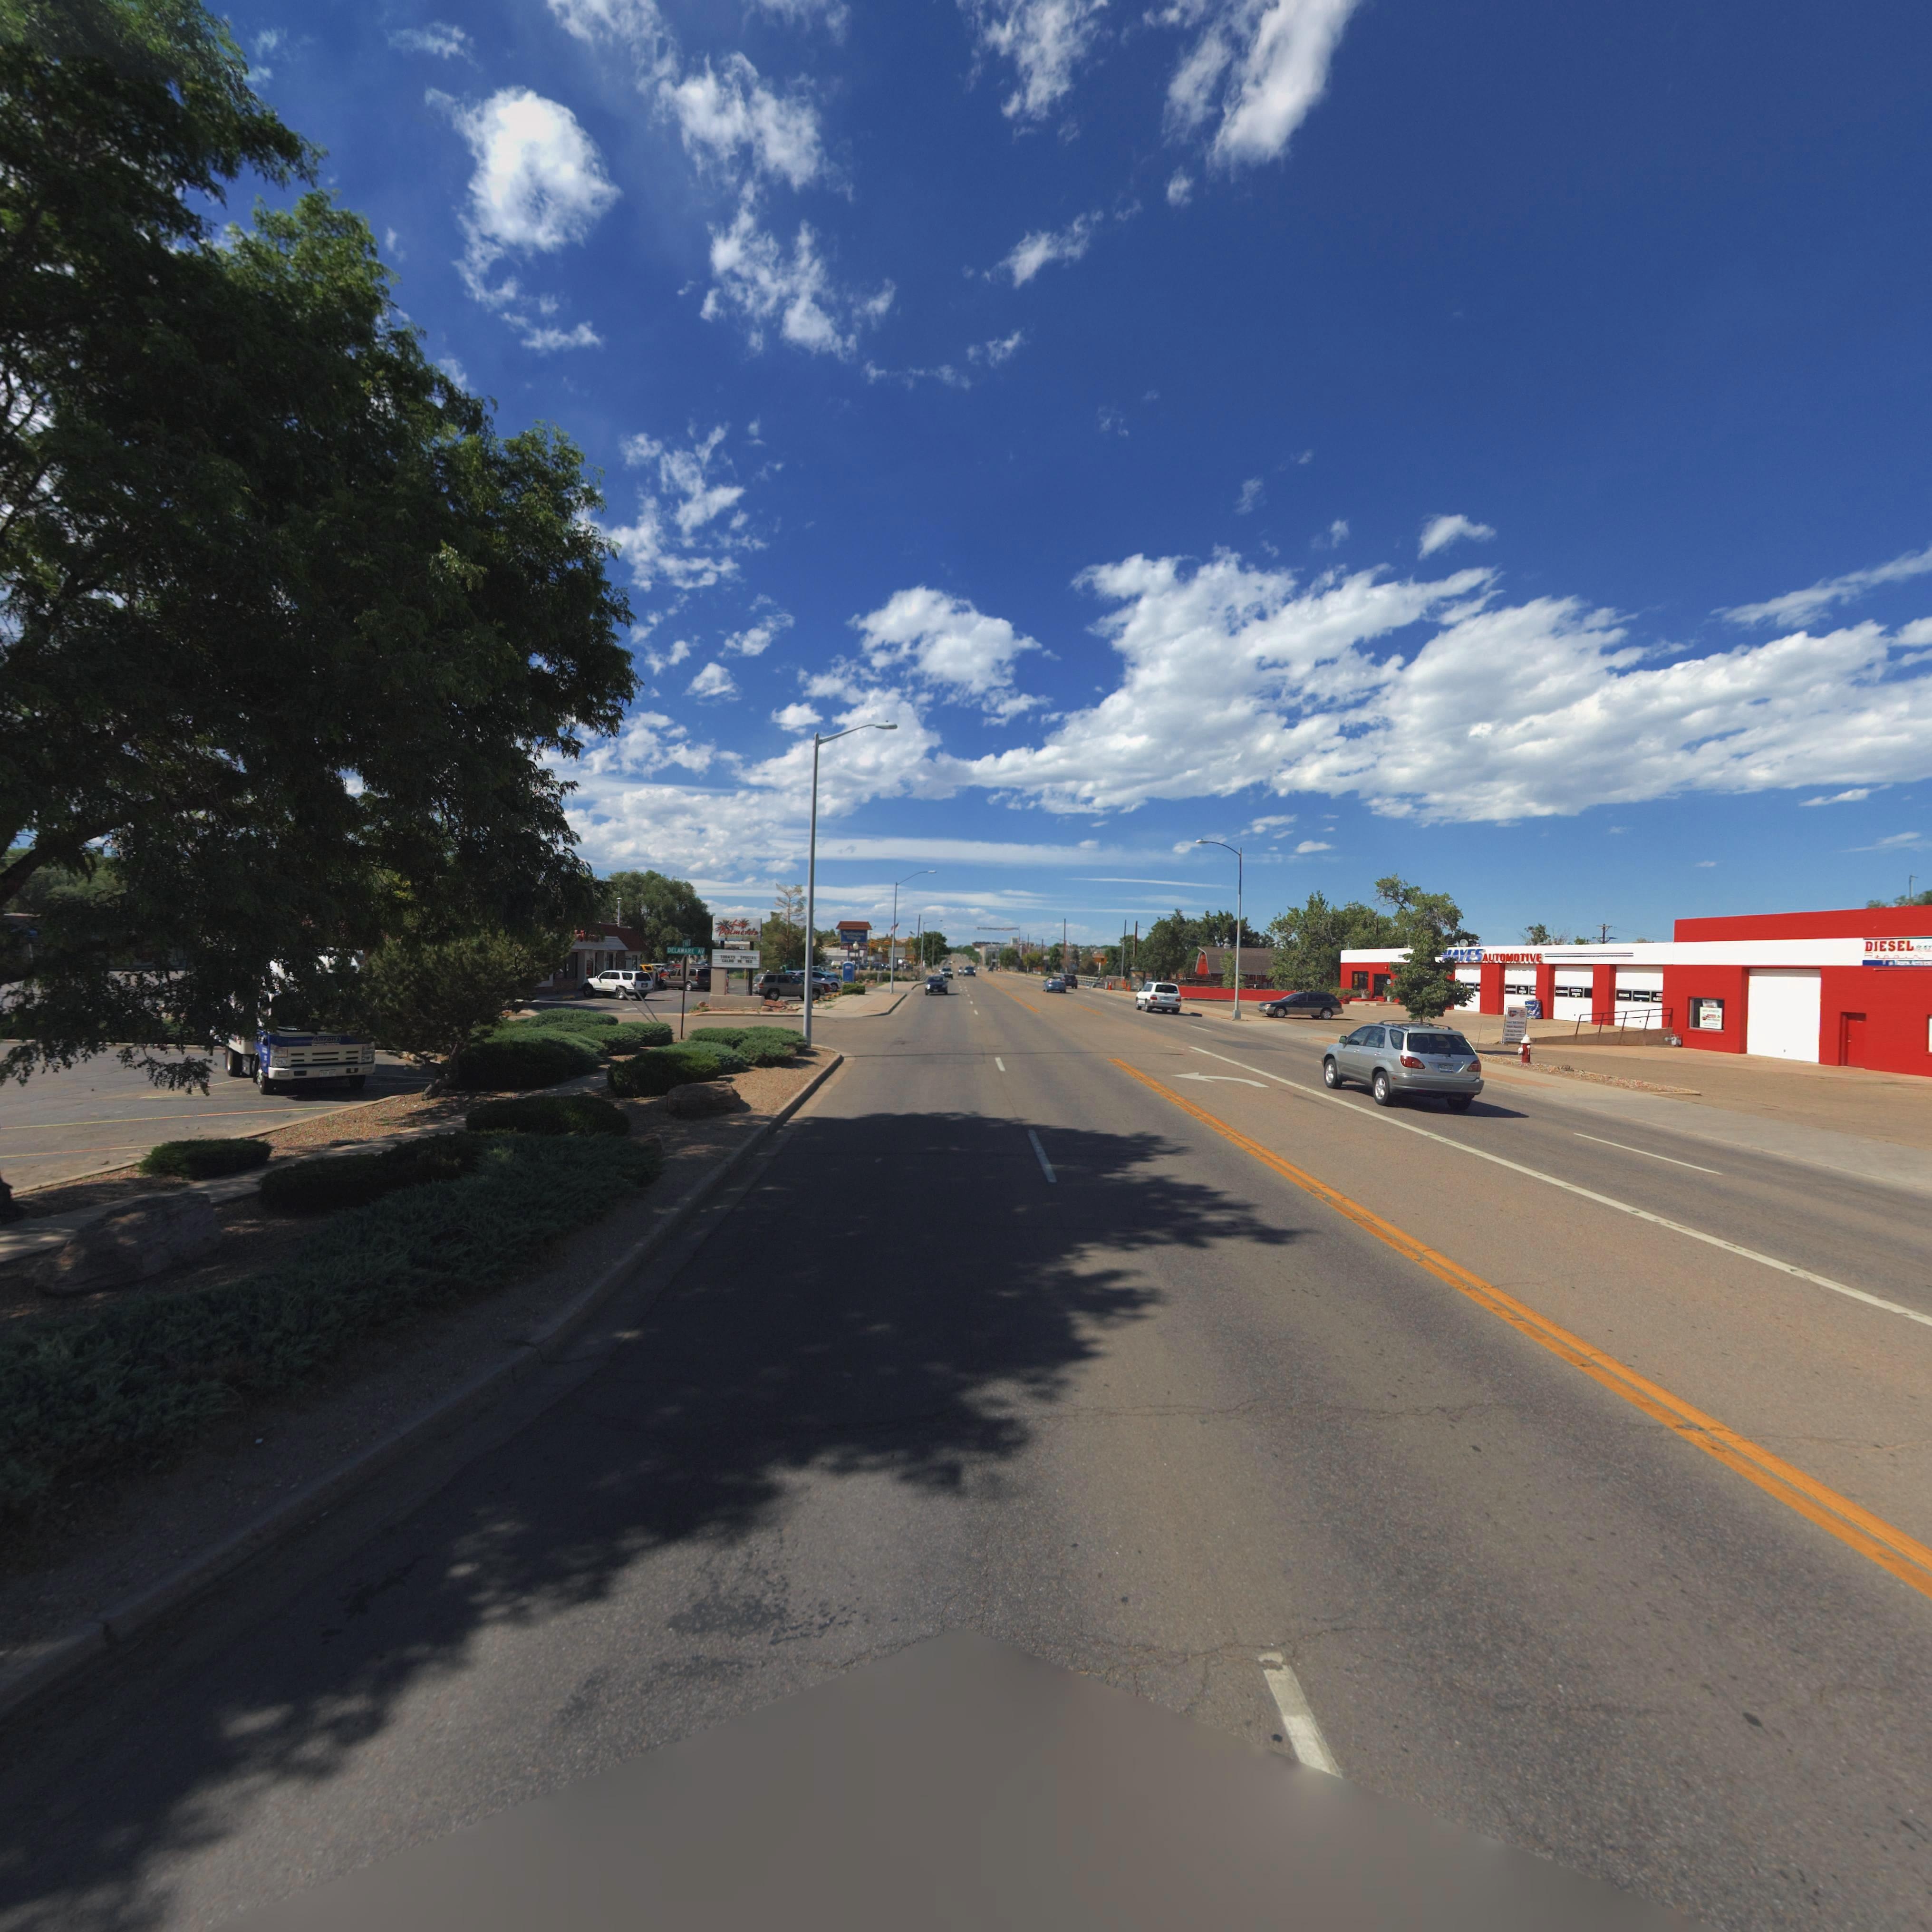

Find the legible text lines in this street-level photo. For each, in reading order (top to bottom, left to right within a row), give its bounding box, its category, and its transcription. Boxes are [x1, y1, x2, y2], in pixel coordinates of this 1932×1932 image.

[729, 918, 748, 927] BusinessName: Las
[716, 925, 757, 937] BusinessName: Palme**s
[667, 947, 705, 954] StreetName: DELAWARE AV
[841, 945, 849, 949] StreetNumber: 1*5
[849, 945, 866, 949] StreetName: S. *AIN
[1915, 945, 1932, 950] BusinessName: HEY
[1441, 948, 1484, 962] BusinessName: HAYES
[1482, 953, 1542, 962] BusinessName: AUTOMOTIVE